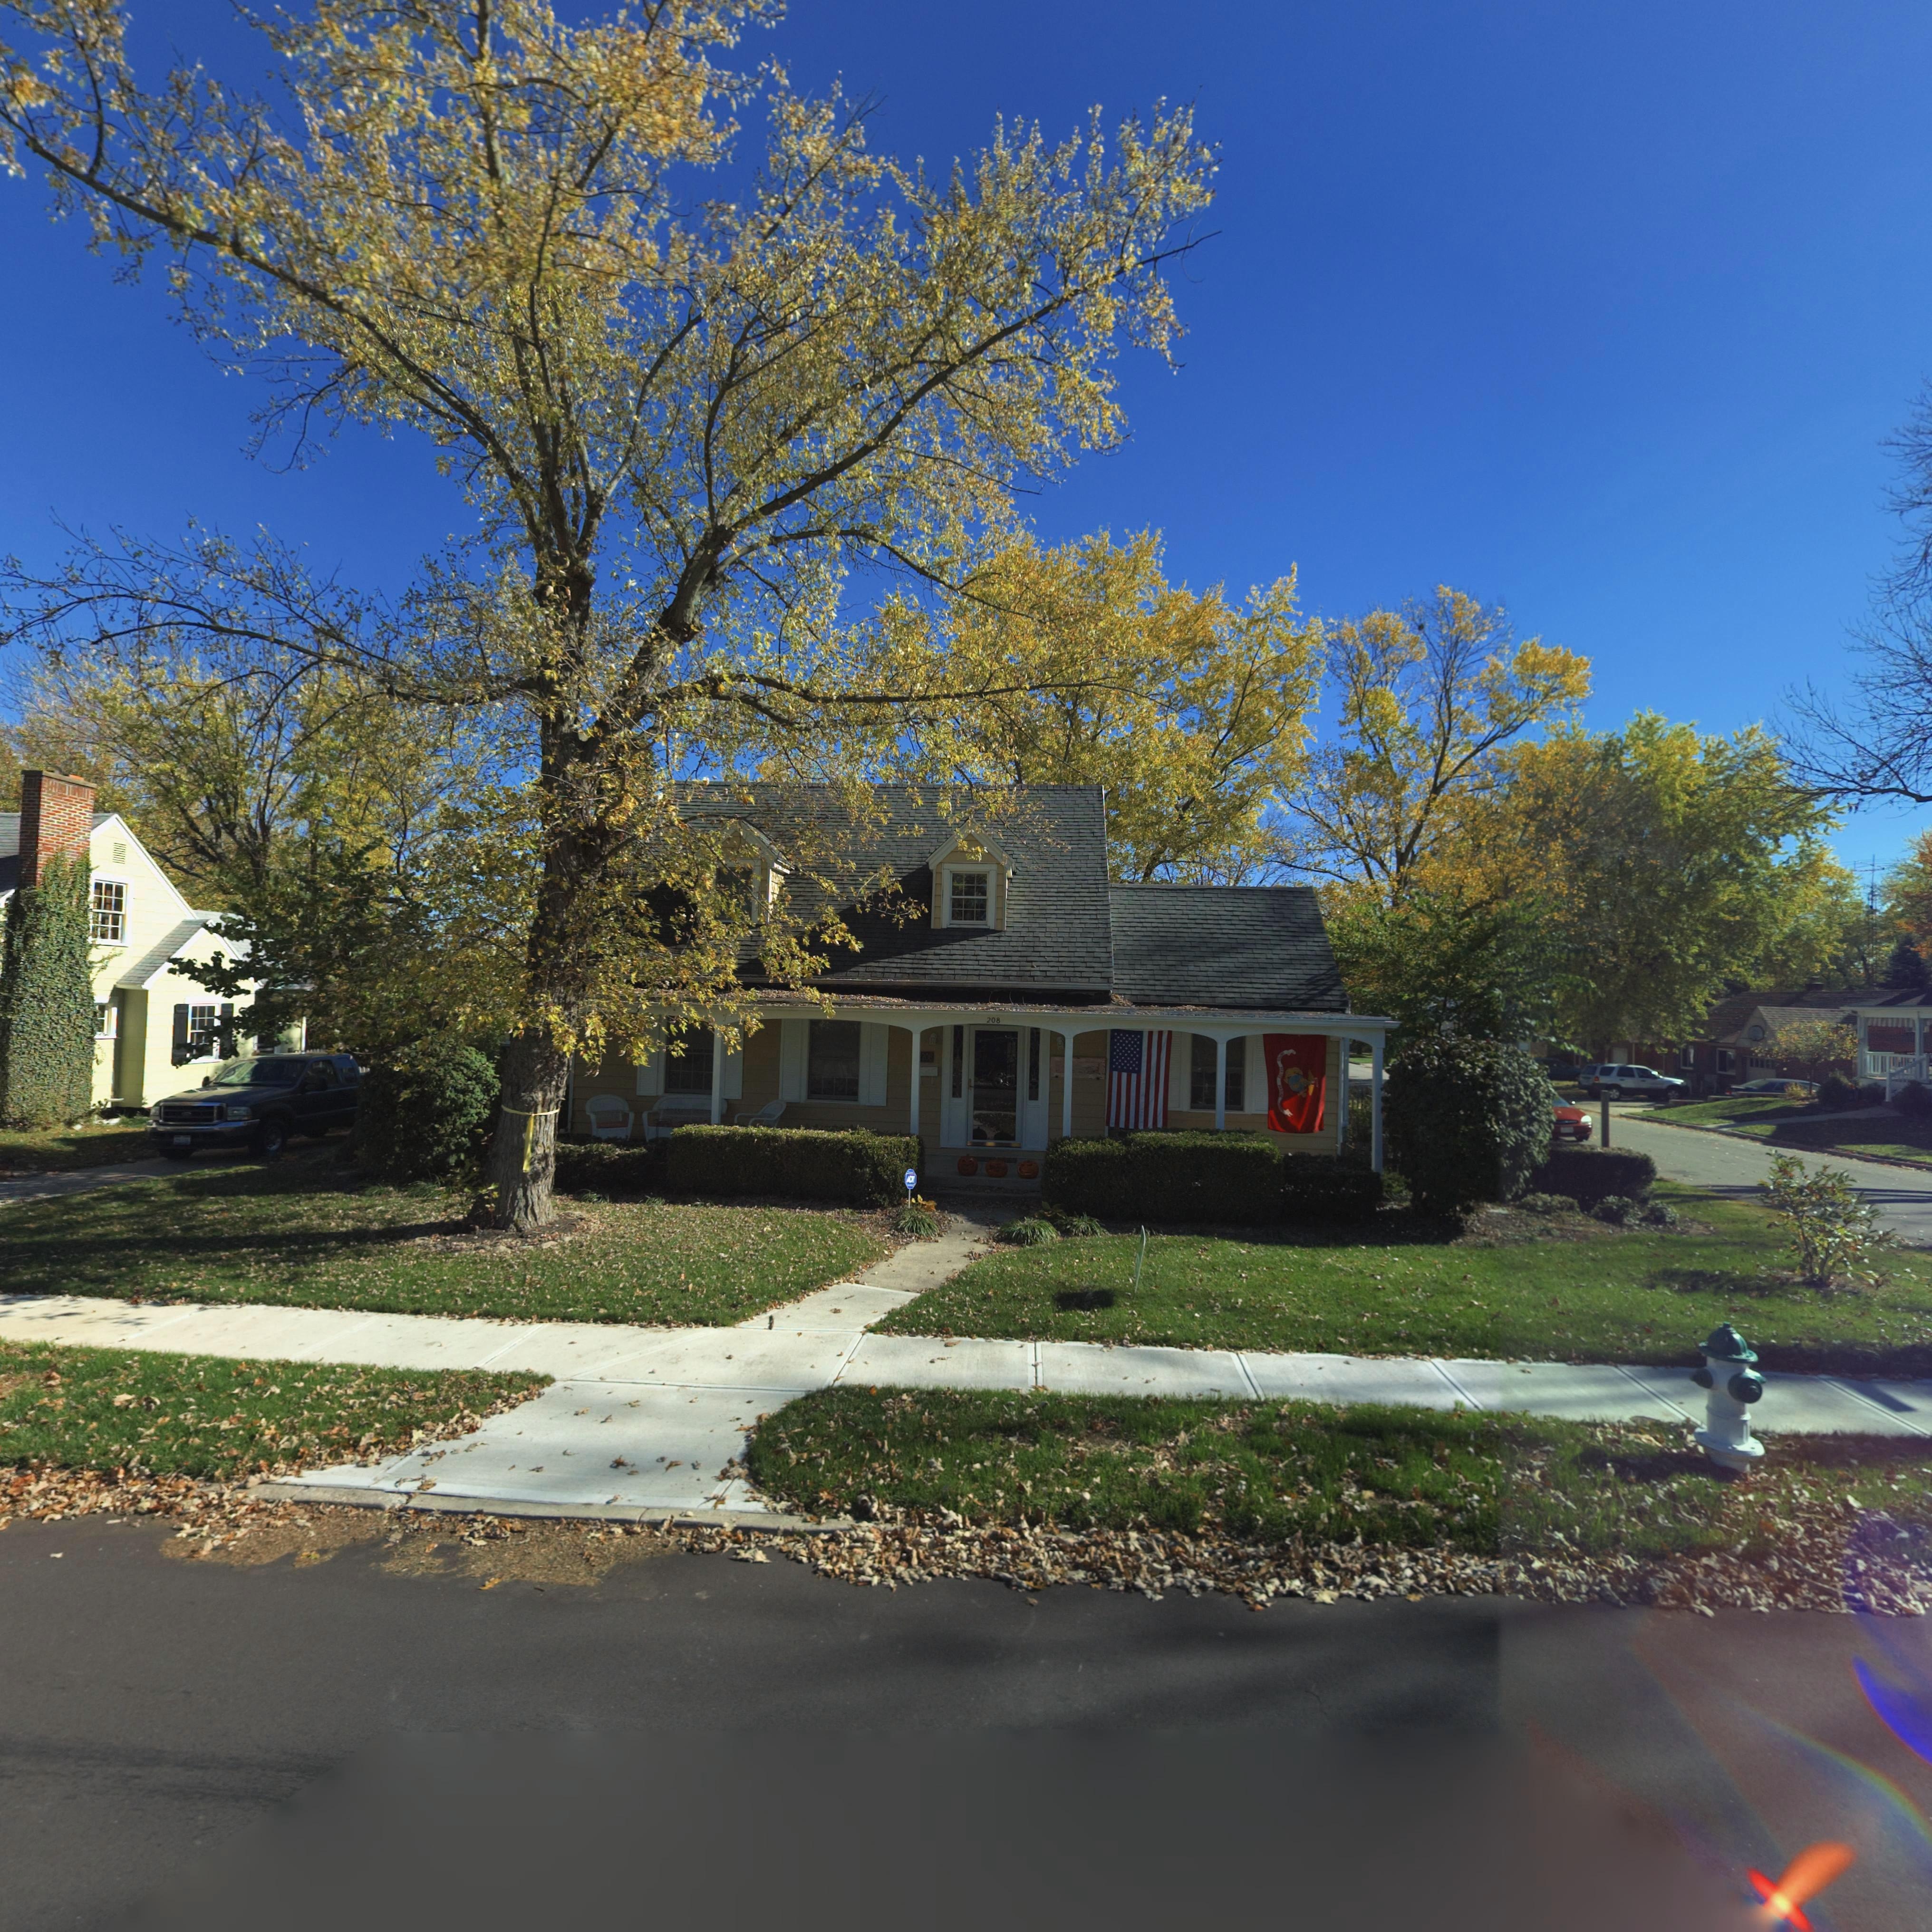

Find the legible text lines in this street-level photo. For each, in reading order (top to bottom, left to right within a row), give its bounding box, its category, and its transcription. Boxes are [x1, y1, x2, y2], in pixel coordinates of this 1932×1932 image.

[986, 1017, 1001, 1024] StreetNumber: 208